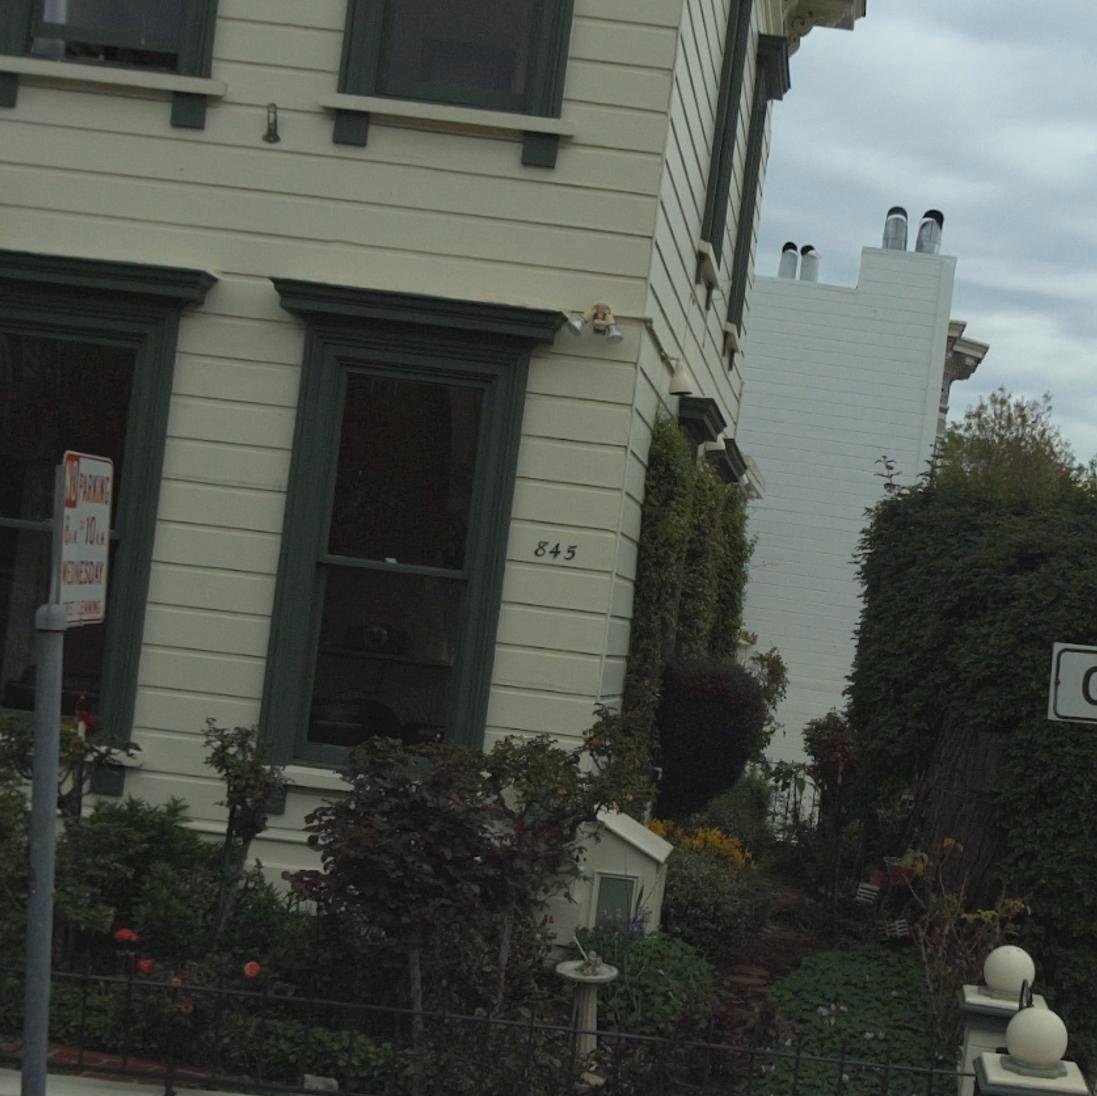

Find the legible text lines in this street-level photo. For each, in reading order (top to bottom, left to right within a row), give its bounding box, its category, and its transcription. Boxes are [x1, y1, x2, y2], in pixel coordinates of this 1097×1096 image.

[62, 459, 111, 506] None: NO PARKING
[63, 514, 71, 548] None: 8
[83, 515, 99, 547] None: 10
[531, 540, 579, 562] StreetNumber: 845
[59, 559, 105, 586] None: WEDNESDAY